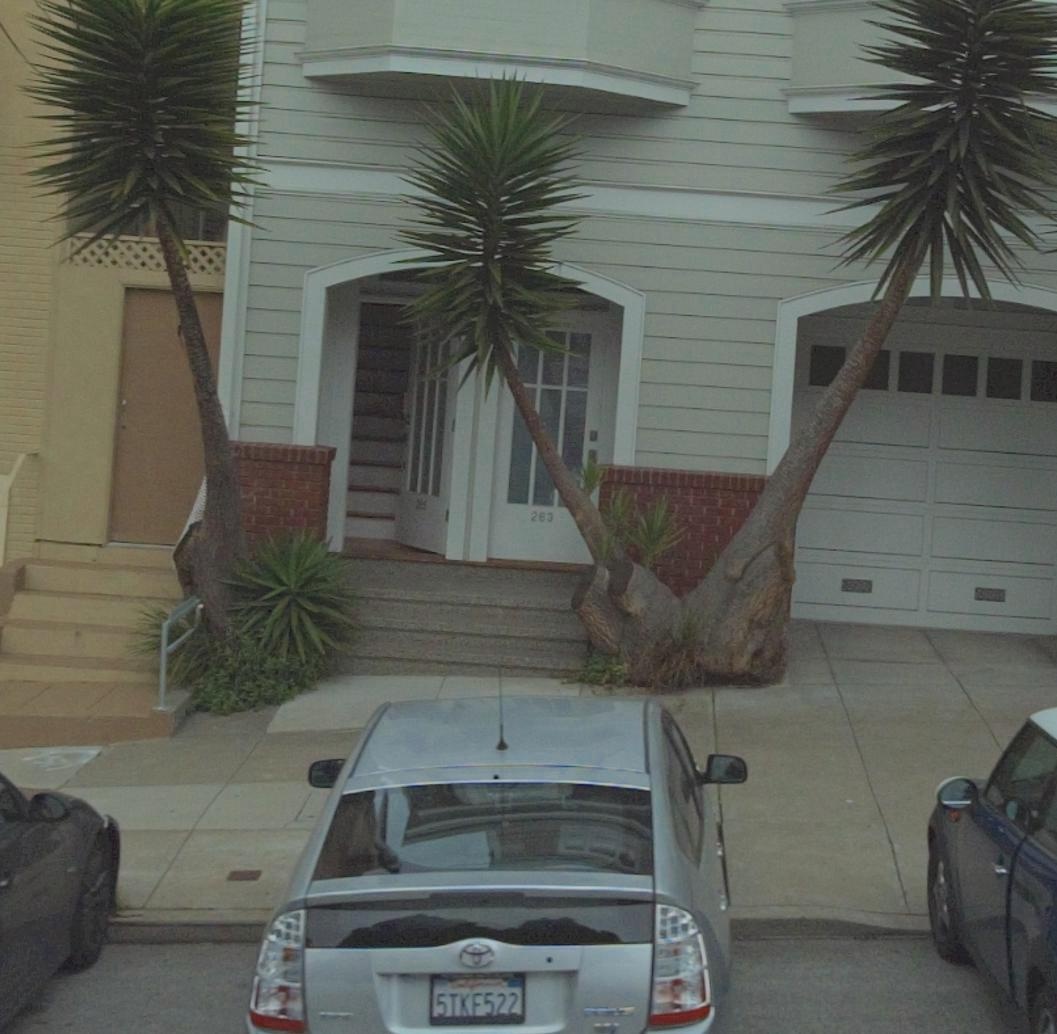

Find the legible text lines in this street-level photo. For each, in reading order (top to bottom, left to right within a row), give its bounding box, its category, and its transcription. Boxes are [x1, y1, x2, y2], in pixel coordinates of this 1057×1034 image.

[529, 510, 554, 523] StreetNumber: 263
[432, 991, 522, 1018] None: 5TKF522